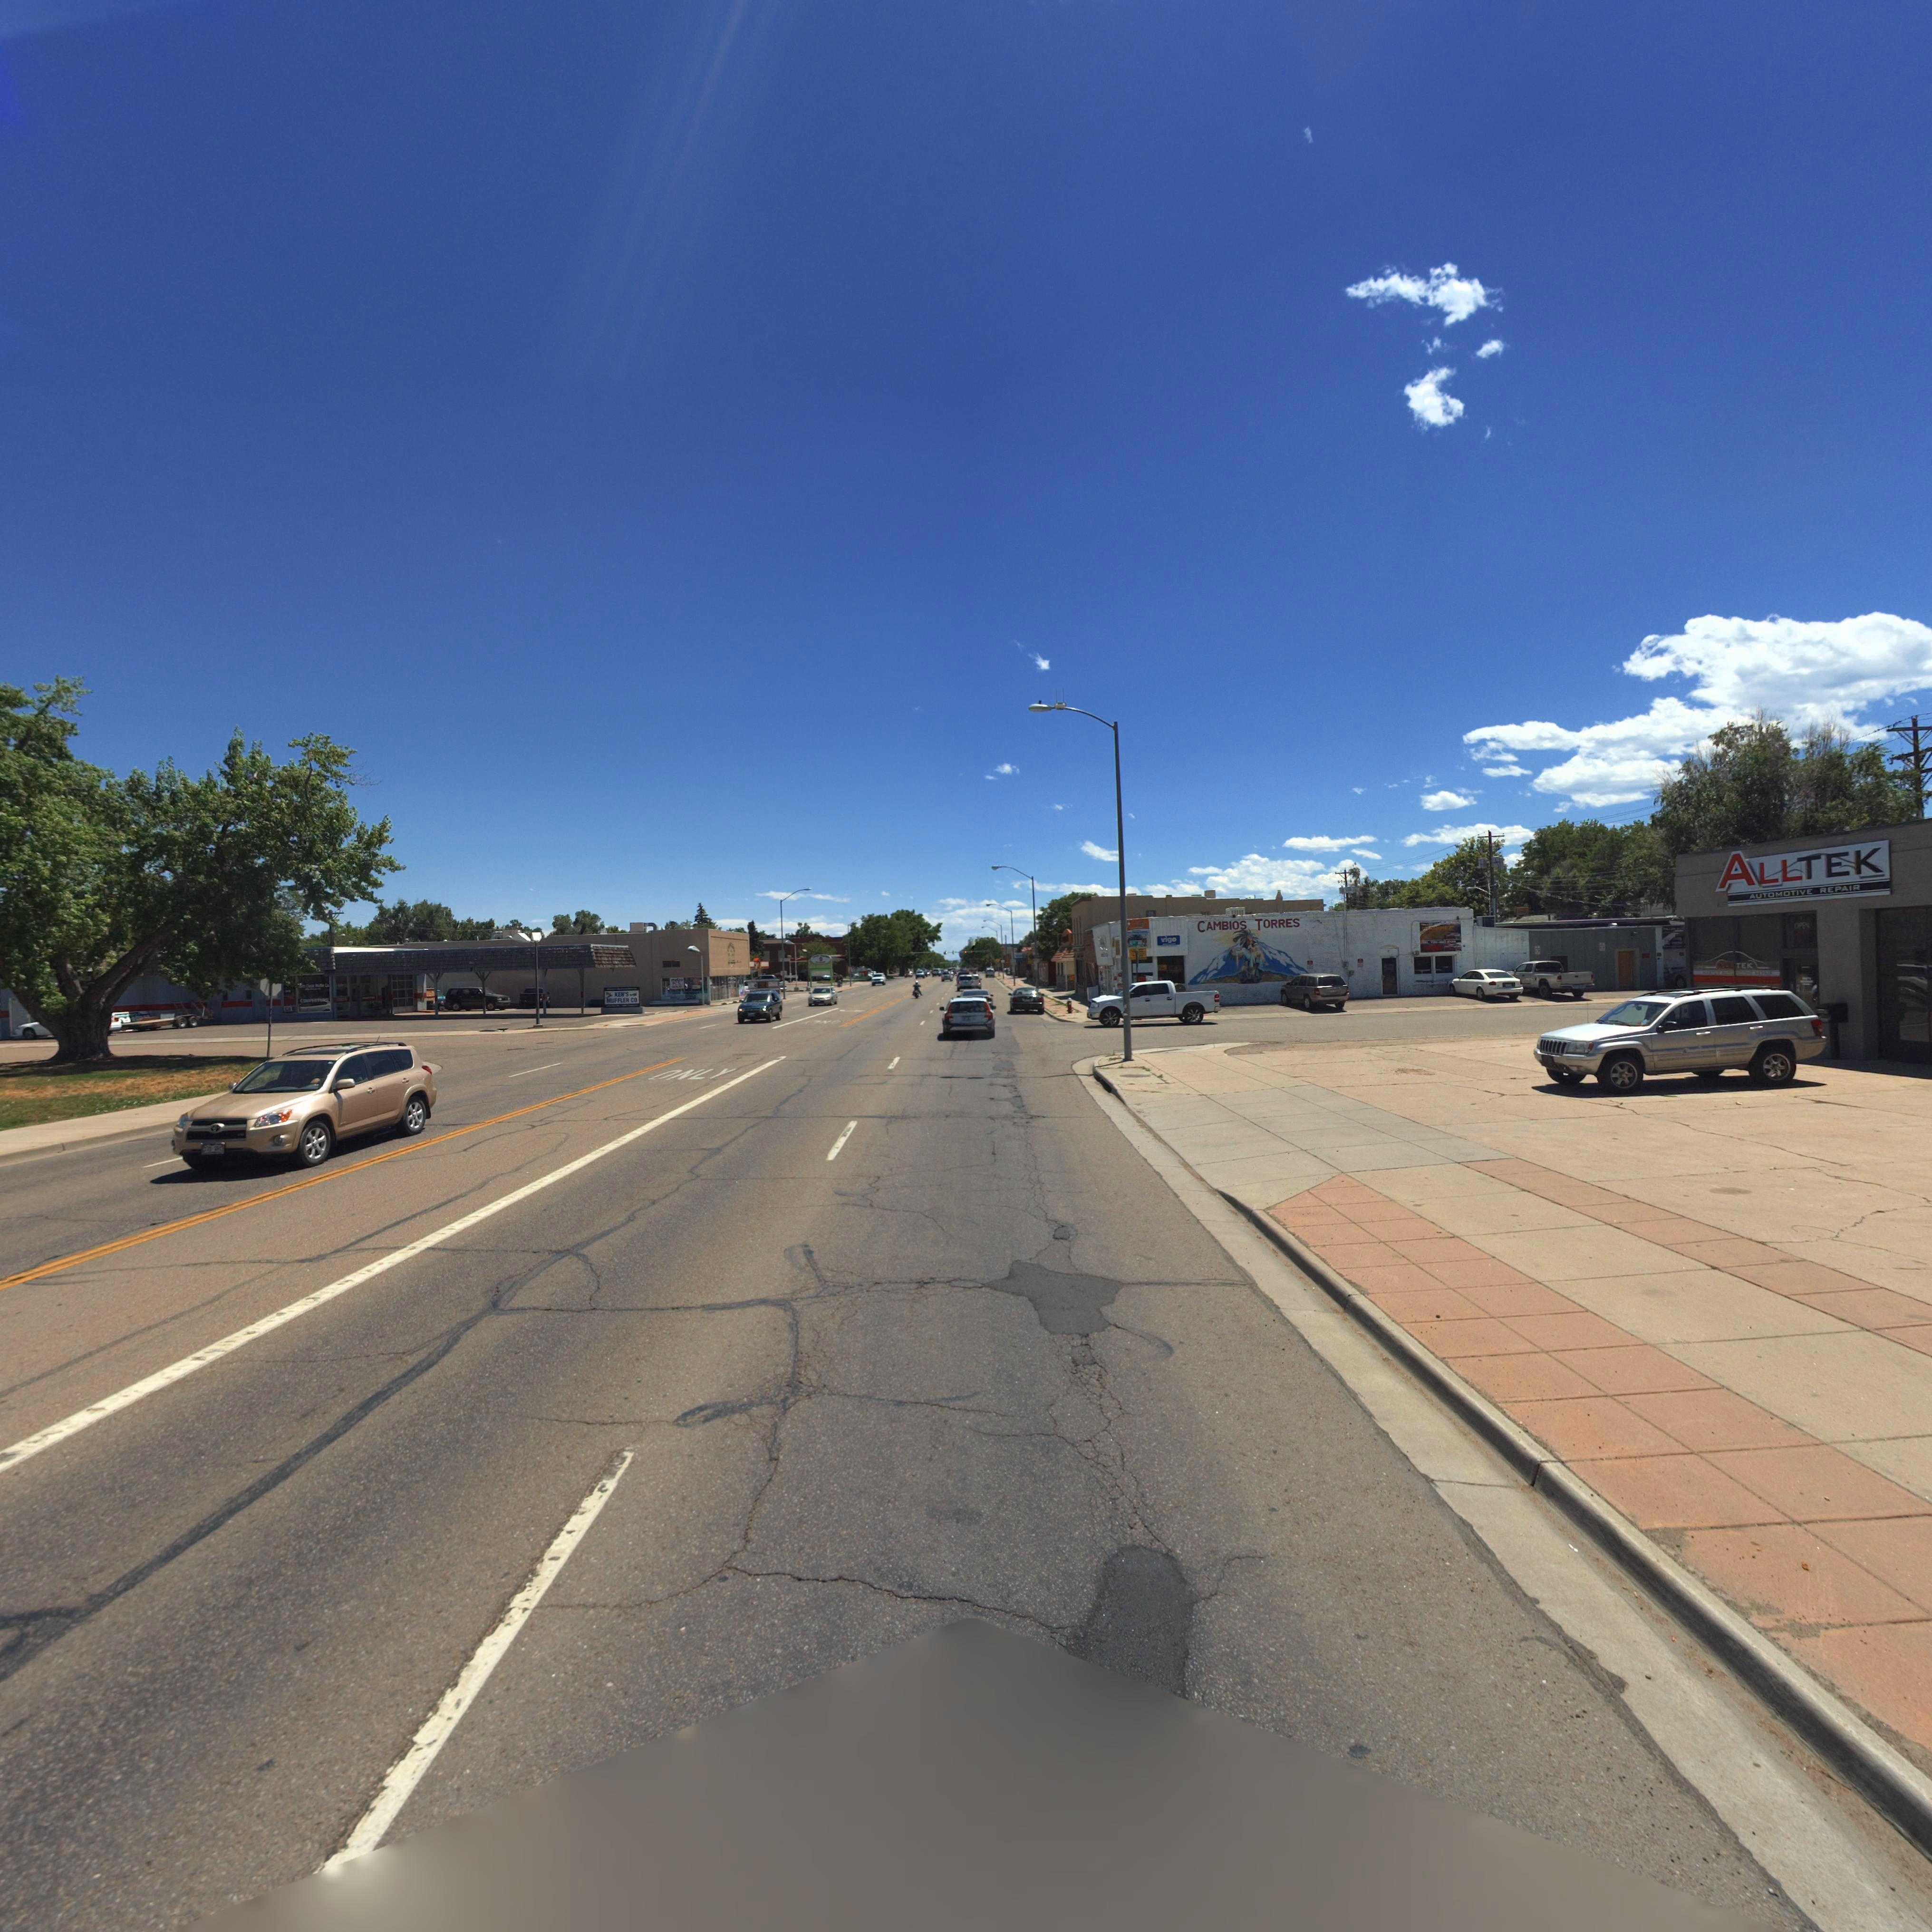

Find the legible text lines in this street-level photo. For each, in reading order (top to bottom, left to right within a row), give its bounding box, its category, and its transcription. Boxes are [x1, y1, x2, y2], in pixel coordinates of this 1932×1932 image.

[1714, 847, 1884, 892] BusinessName: ALLTEK
[1749, 884, 1860, 899] BusinessName: AUTOMOTIVE REPAIR
[1197, 918, 1300, 933] BusinessName: CAMBIOS TORRES
[1129, 941, 1142, 945] StreetName: 10TH AV
[1717, 961, 1753, 969] BusinessName: ALLTEK
[614, 992, 629, 996] BusinessName: KEN'S
[607, 997, 637, 1003] BusinessName: MUFFLER CO